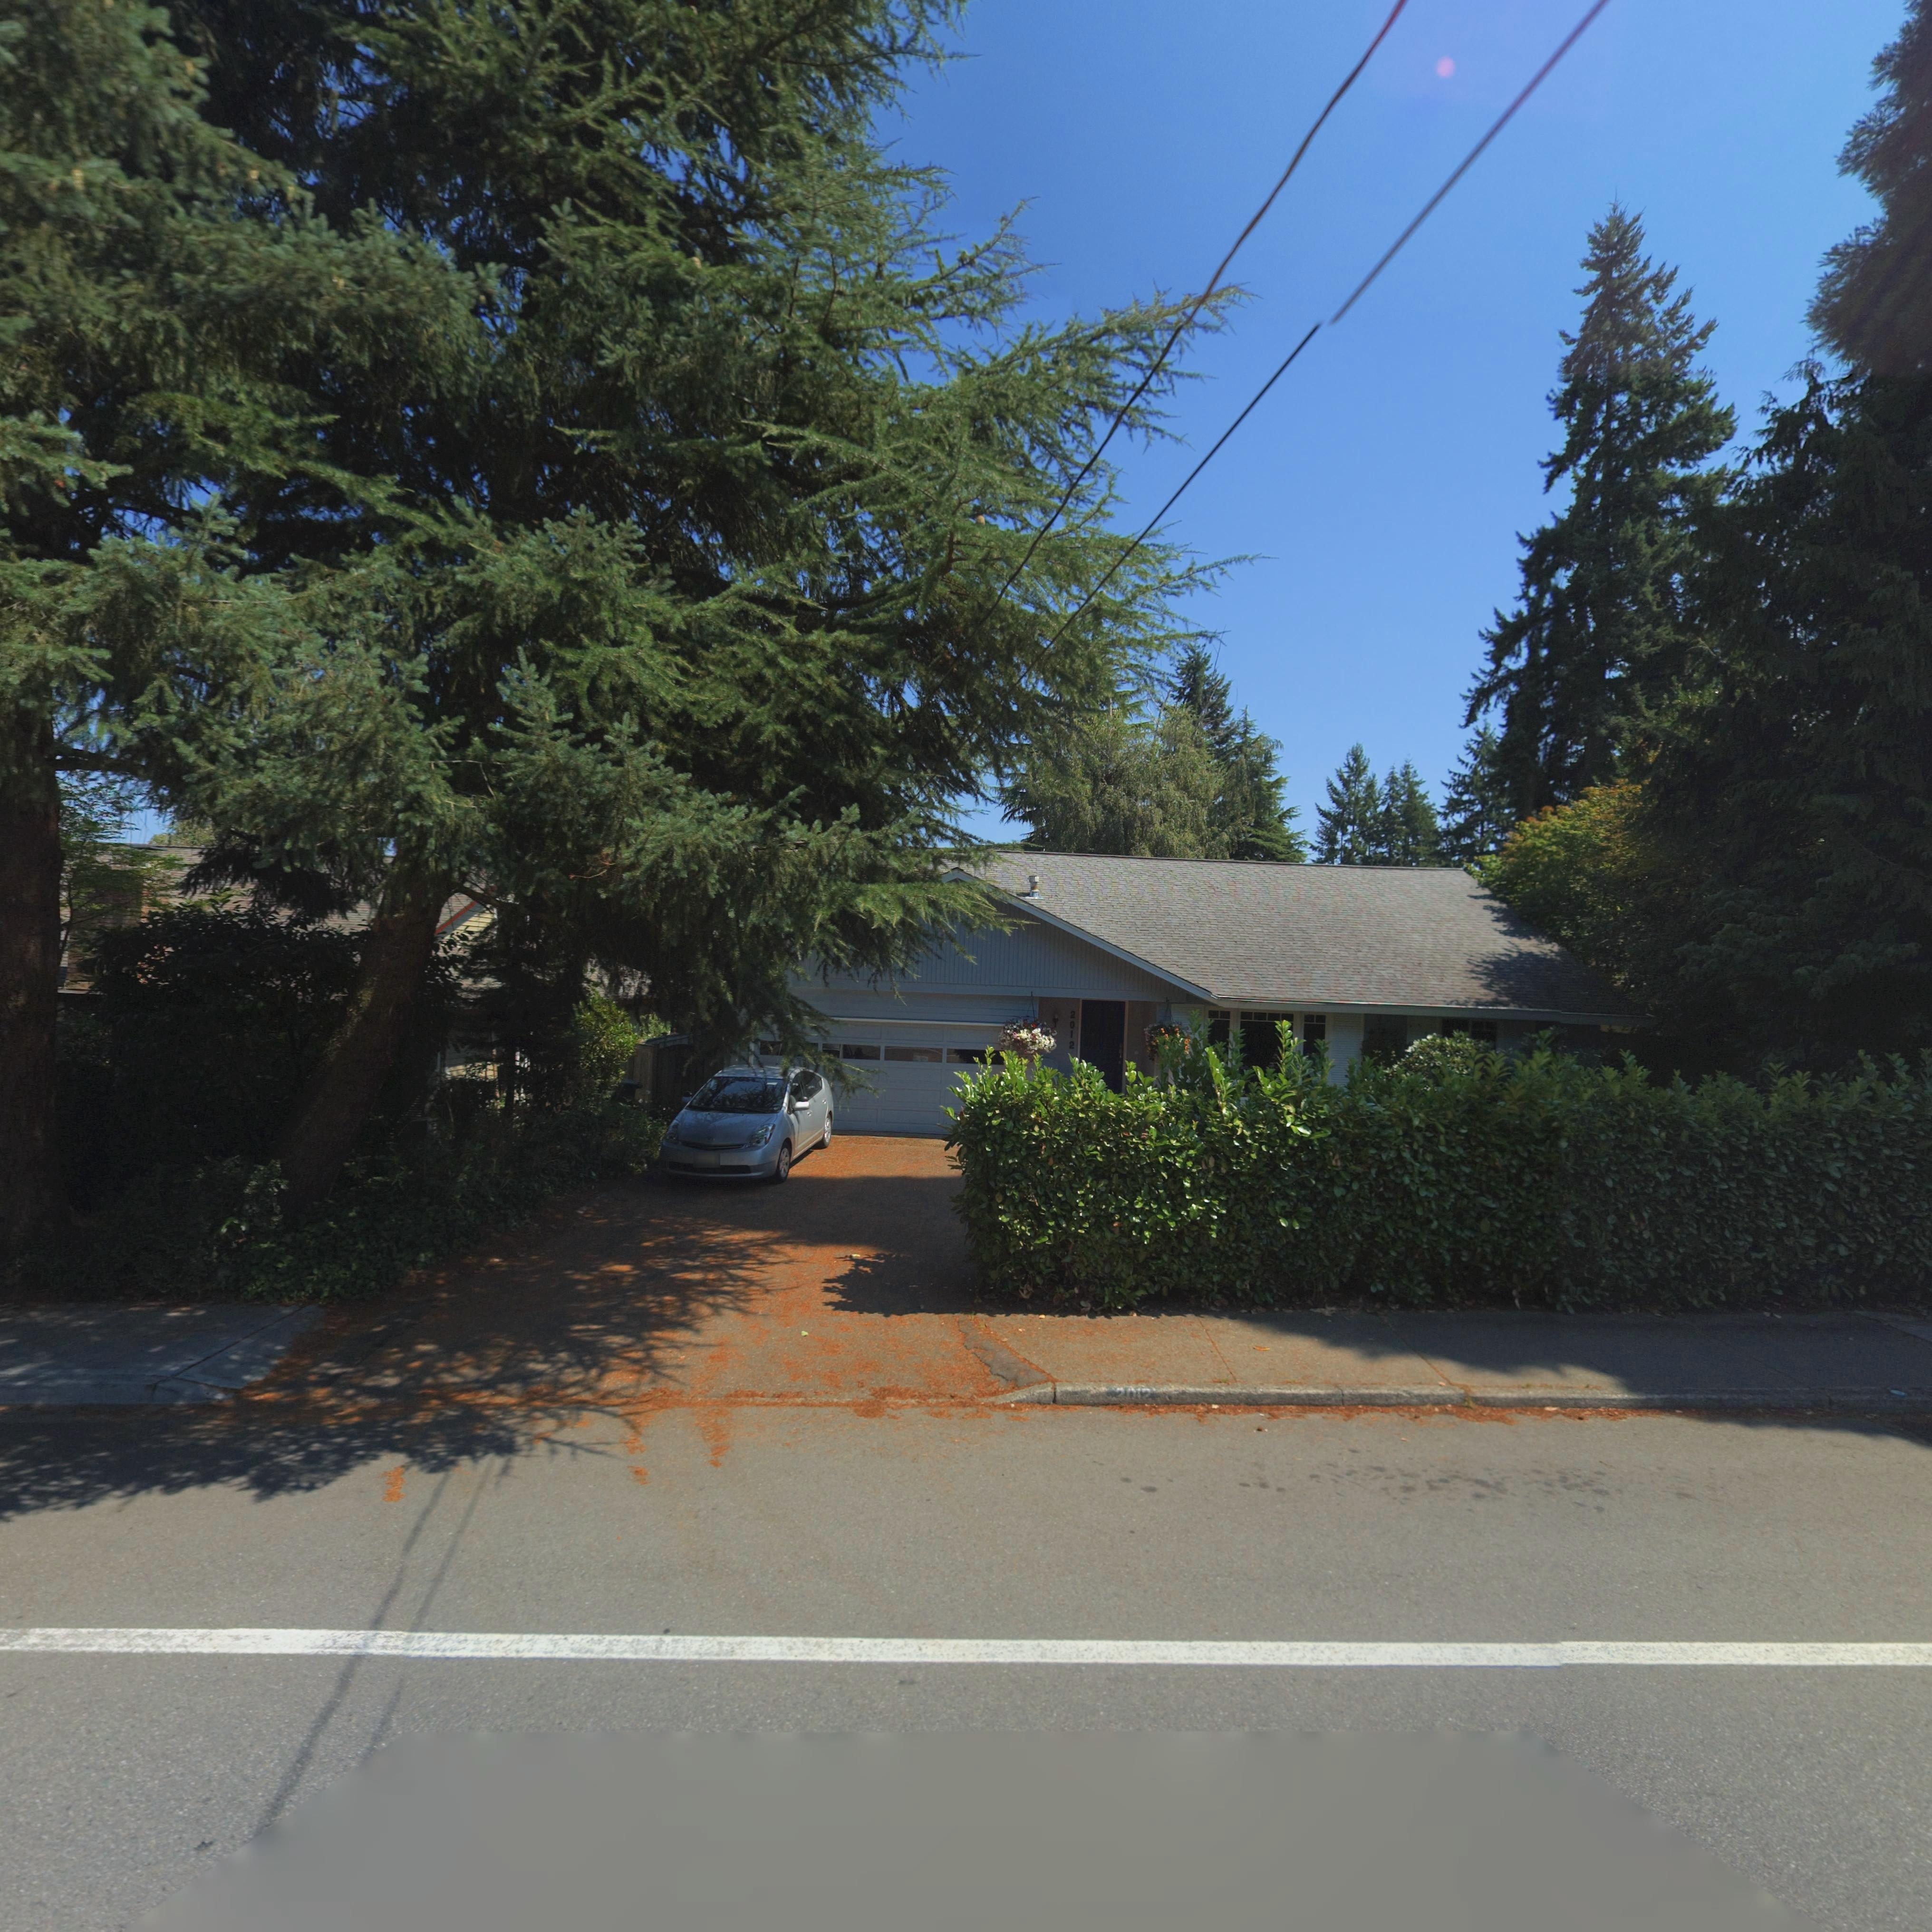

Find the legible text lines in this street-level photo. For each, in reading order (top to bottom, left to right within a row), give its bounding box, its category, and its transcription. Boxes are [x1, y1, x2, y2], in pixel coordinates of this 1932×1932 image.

[1069, 1010, 1076, 1049] StreetNumber: 2012